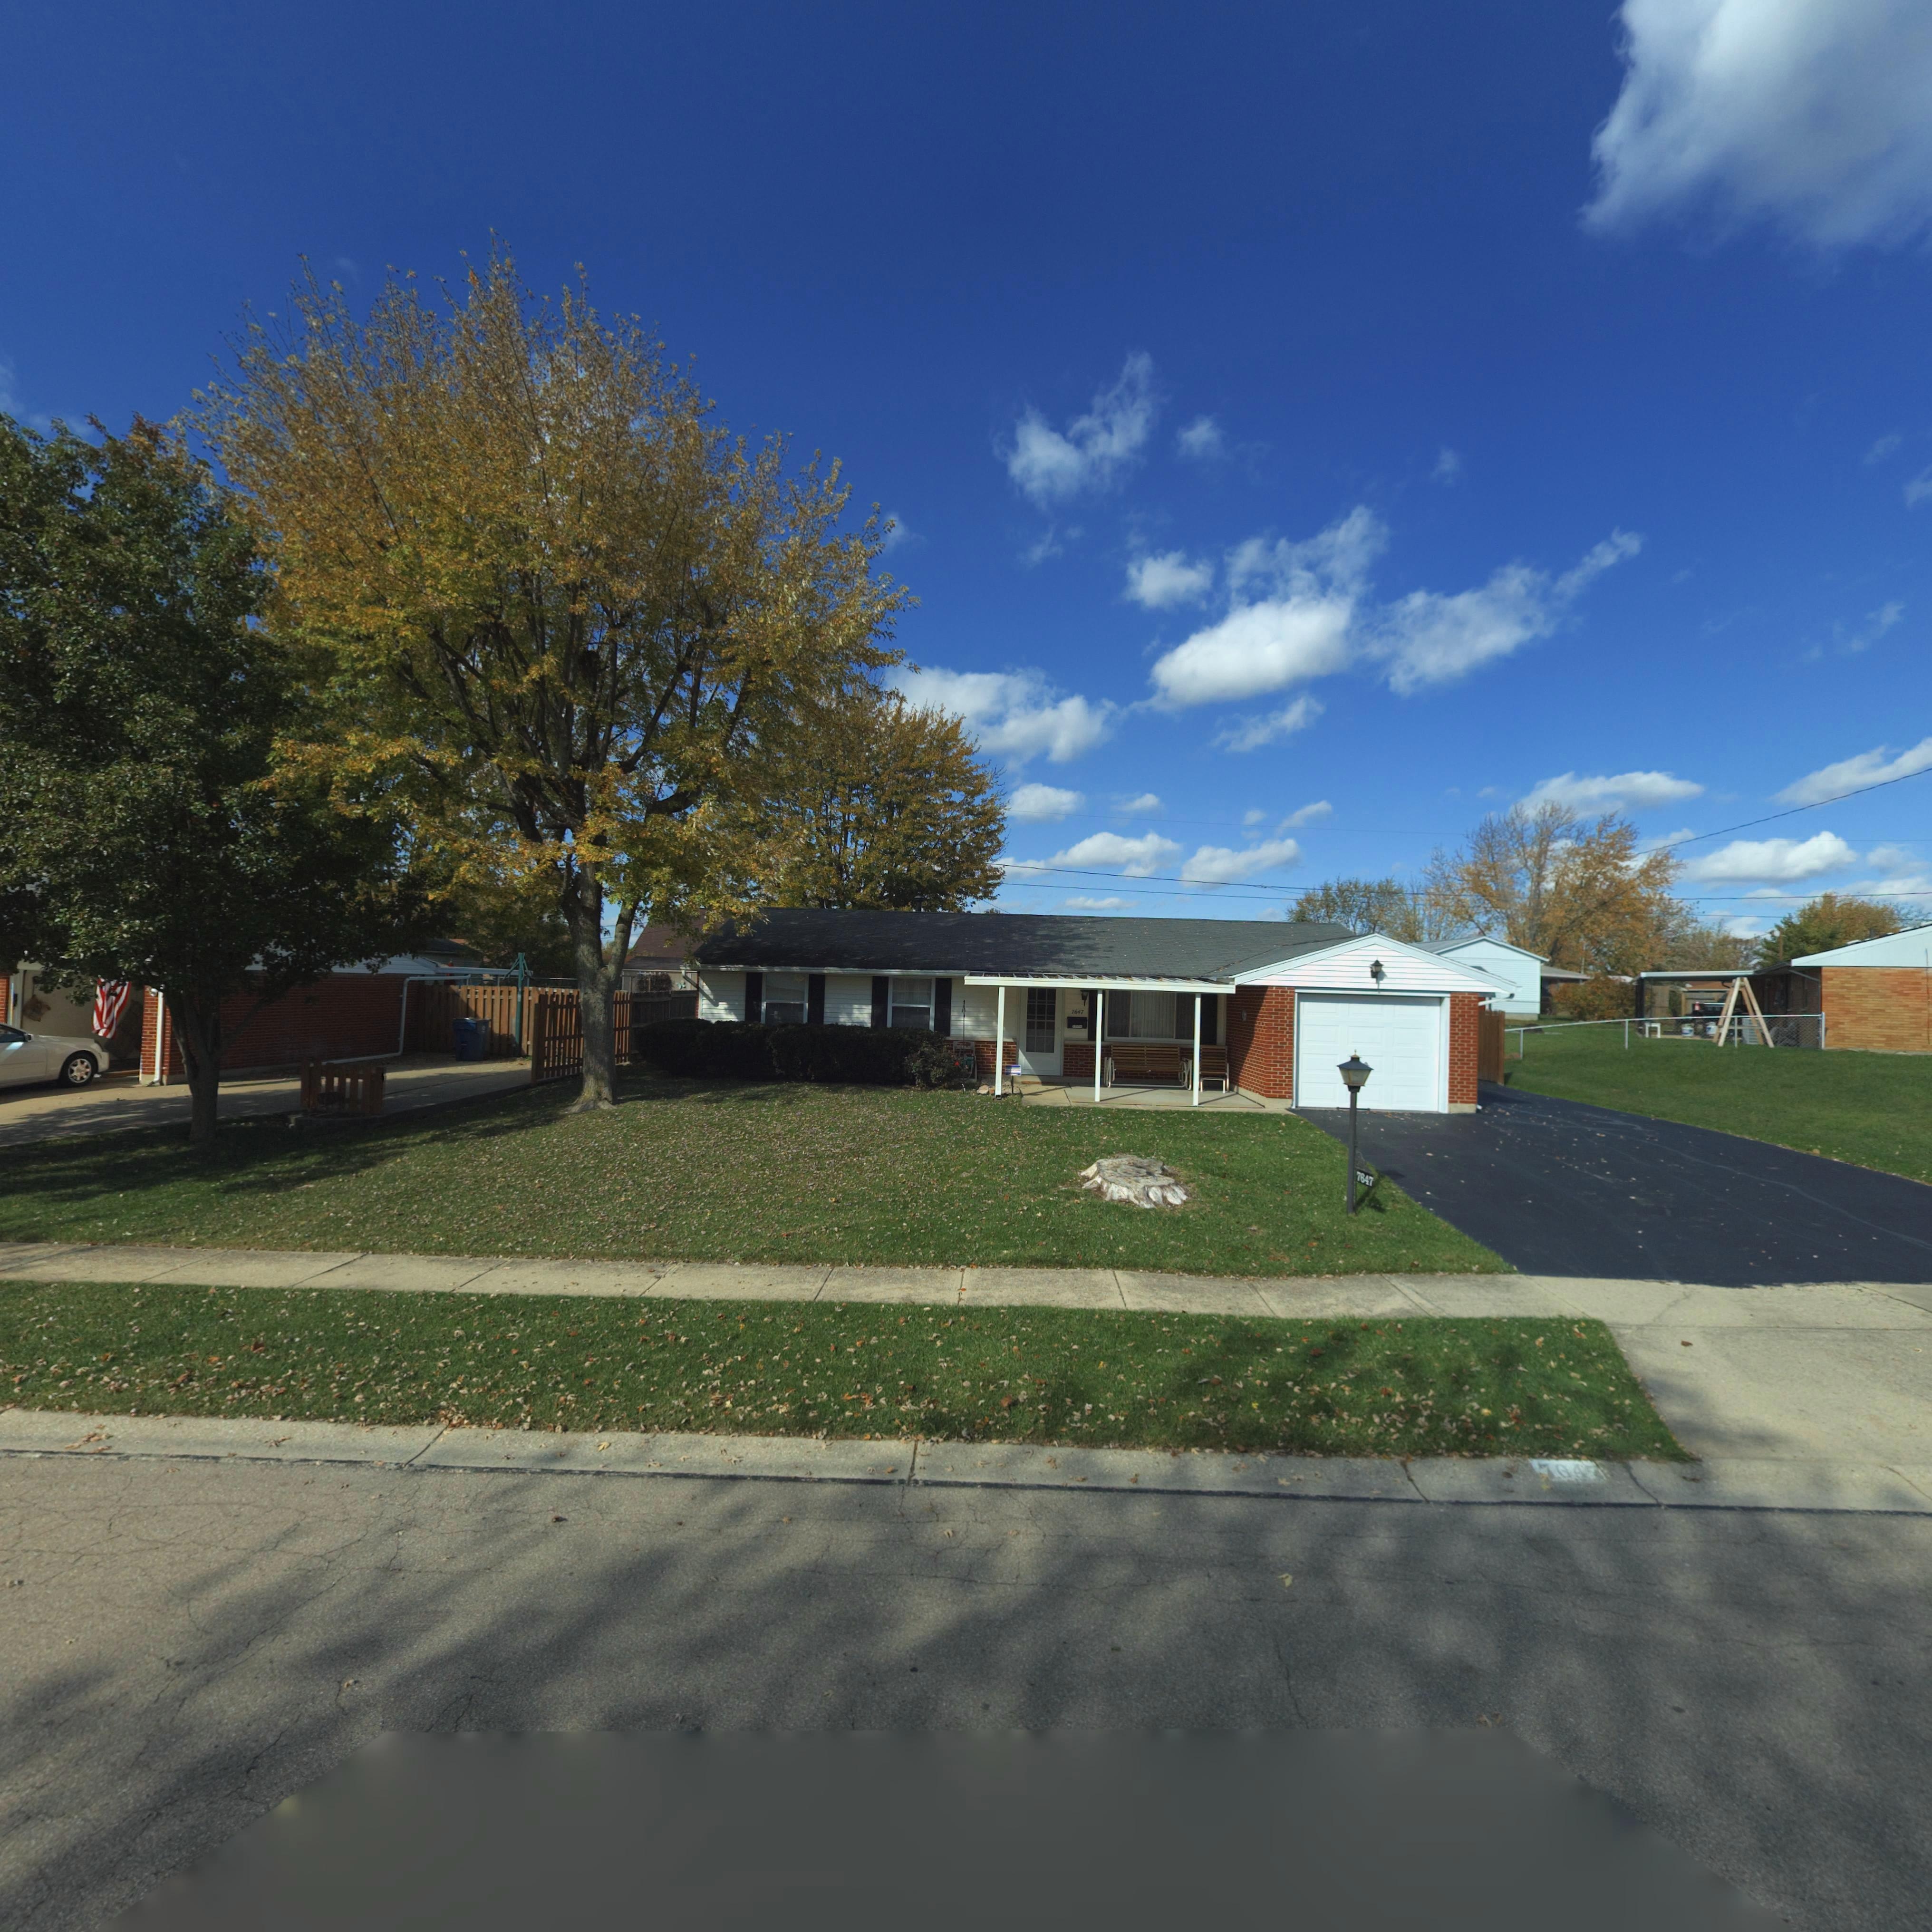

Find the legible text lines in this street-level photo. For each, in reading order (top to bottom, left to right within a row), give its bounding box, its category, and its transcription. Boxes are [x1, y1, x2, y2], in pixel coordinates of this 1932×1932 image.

[1071, 1009, 1085, 1014] StreetNumber: 7647
[1355, 1169, 1375, 1188] StreetNumber: 7647
[1537, 1462, 1604, 1481] StreetNumber: 7047